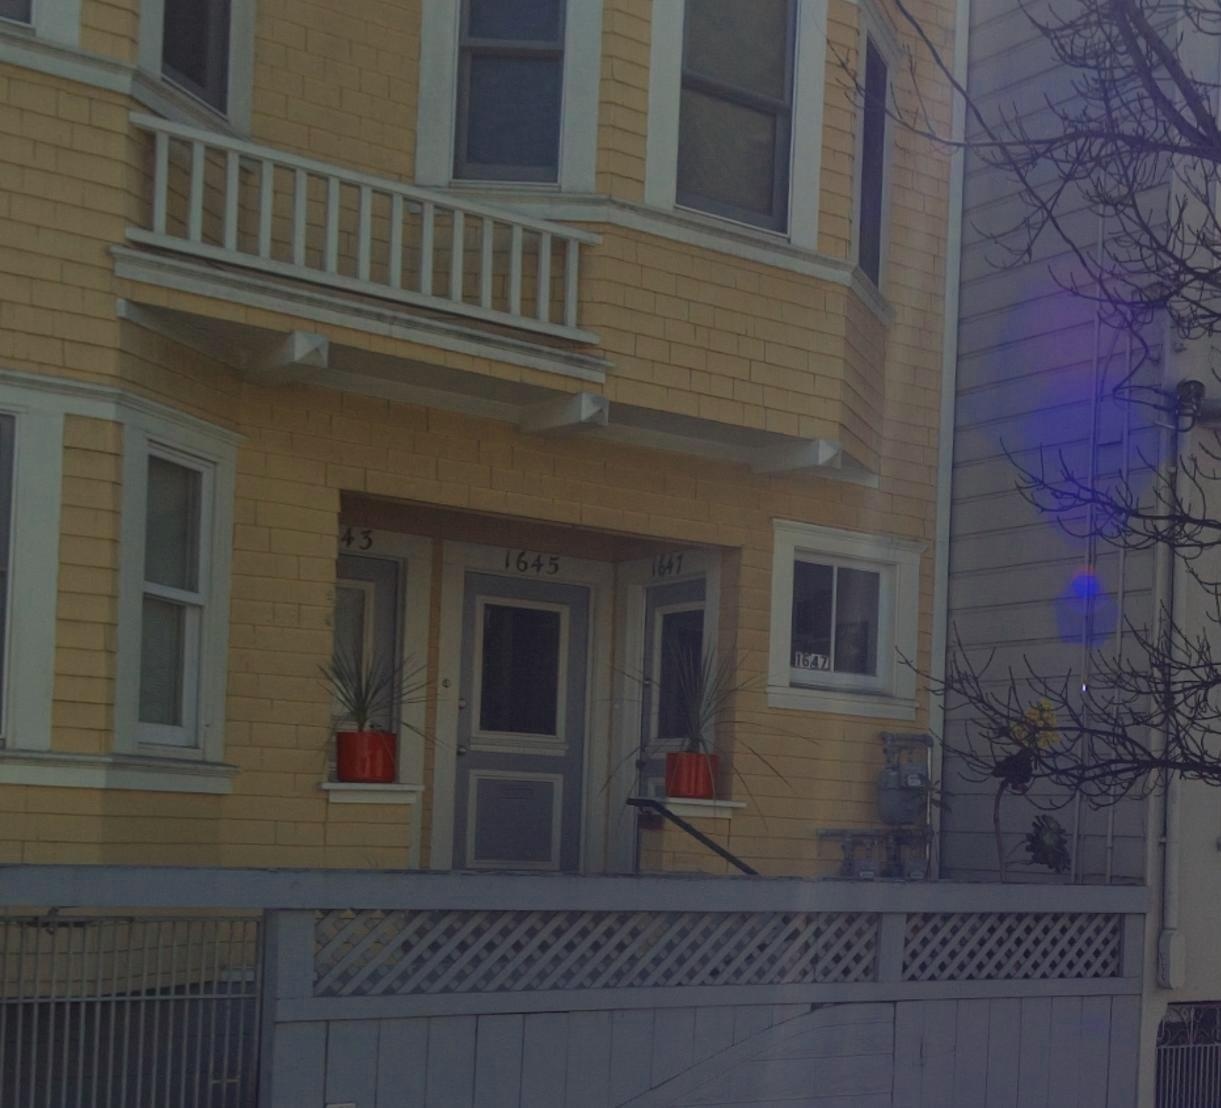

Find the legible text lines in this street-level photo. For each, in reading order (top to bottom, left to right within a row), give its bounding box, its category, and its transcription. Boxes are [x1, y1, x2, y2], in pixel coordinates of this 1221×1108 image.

[338, 525, 374, 552] StreetNumber: 43
[502, 545, 562, 576] StreetNumber: 1645
[650, 550, 686, 580] StreetNumber: 1647
[794, 651, 829, 670] StreetNumber: 1647